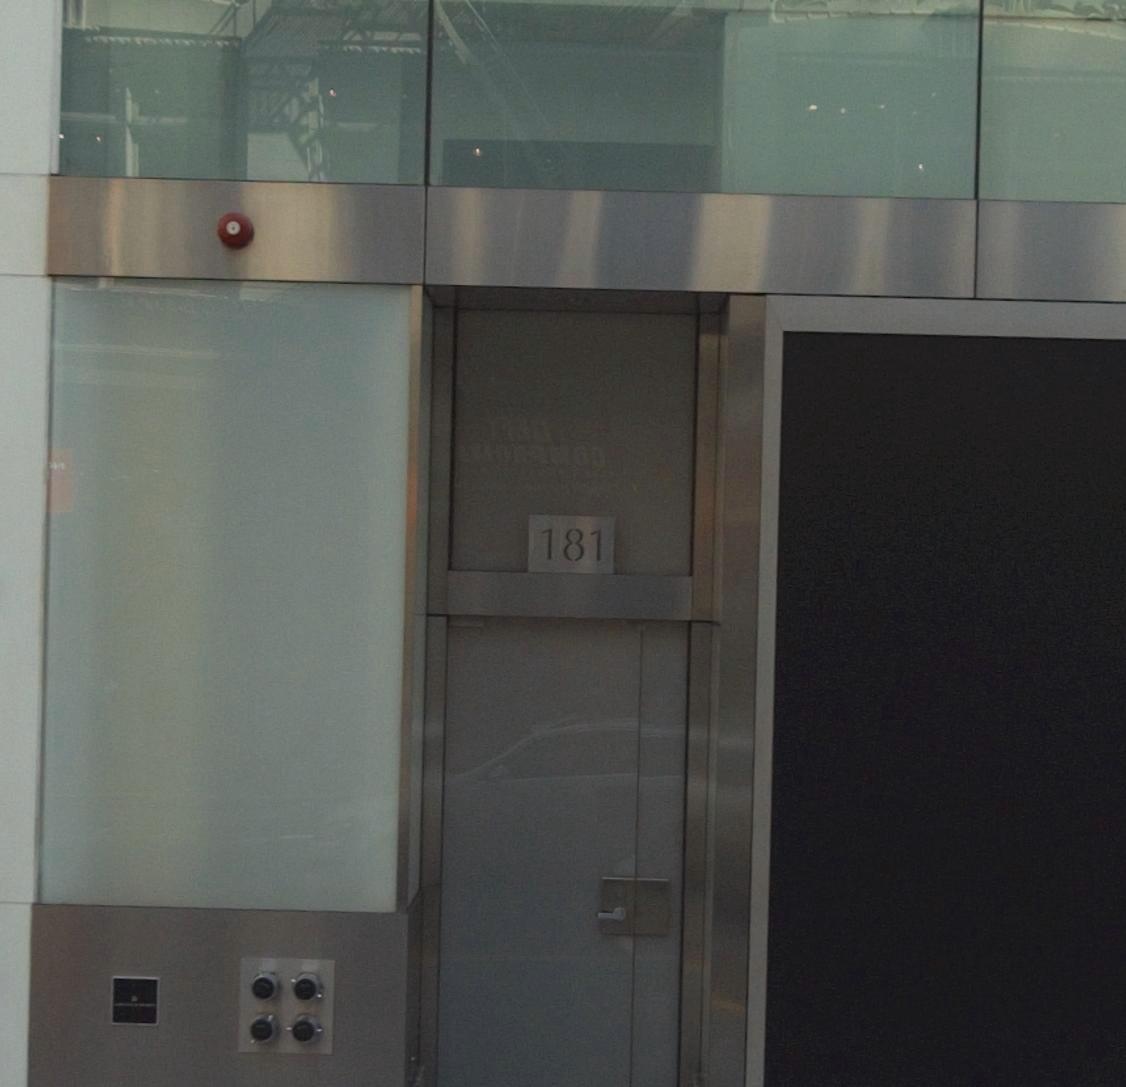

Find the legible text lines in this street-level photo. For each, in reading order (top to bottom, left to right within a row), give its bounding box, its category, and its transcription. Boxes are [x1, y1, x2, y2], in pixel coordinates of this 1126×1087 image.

[538, 527, 603, 562] StreetNumber: 181